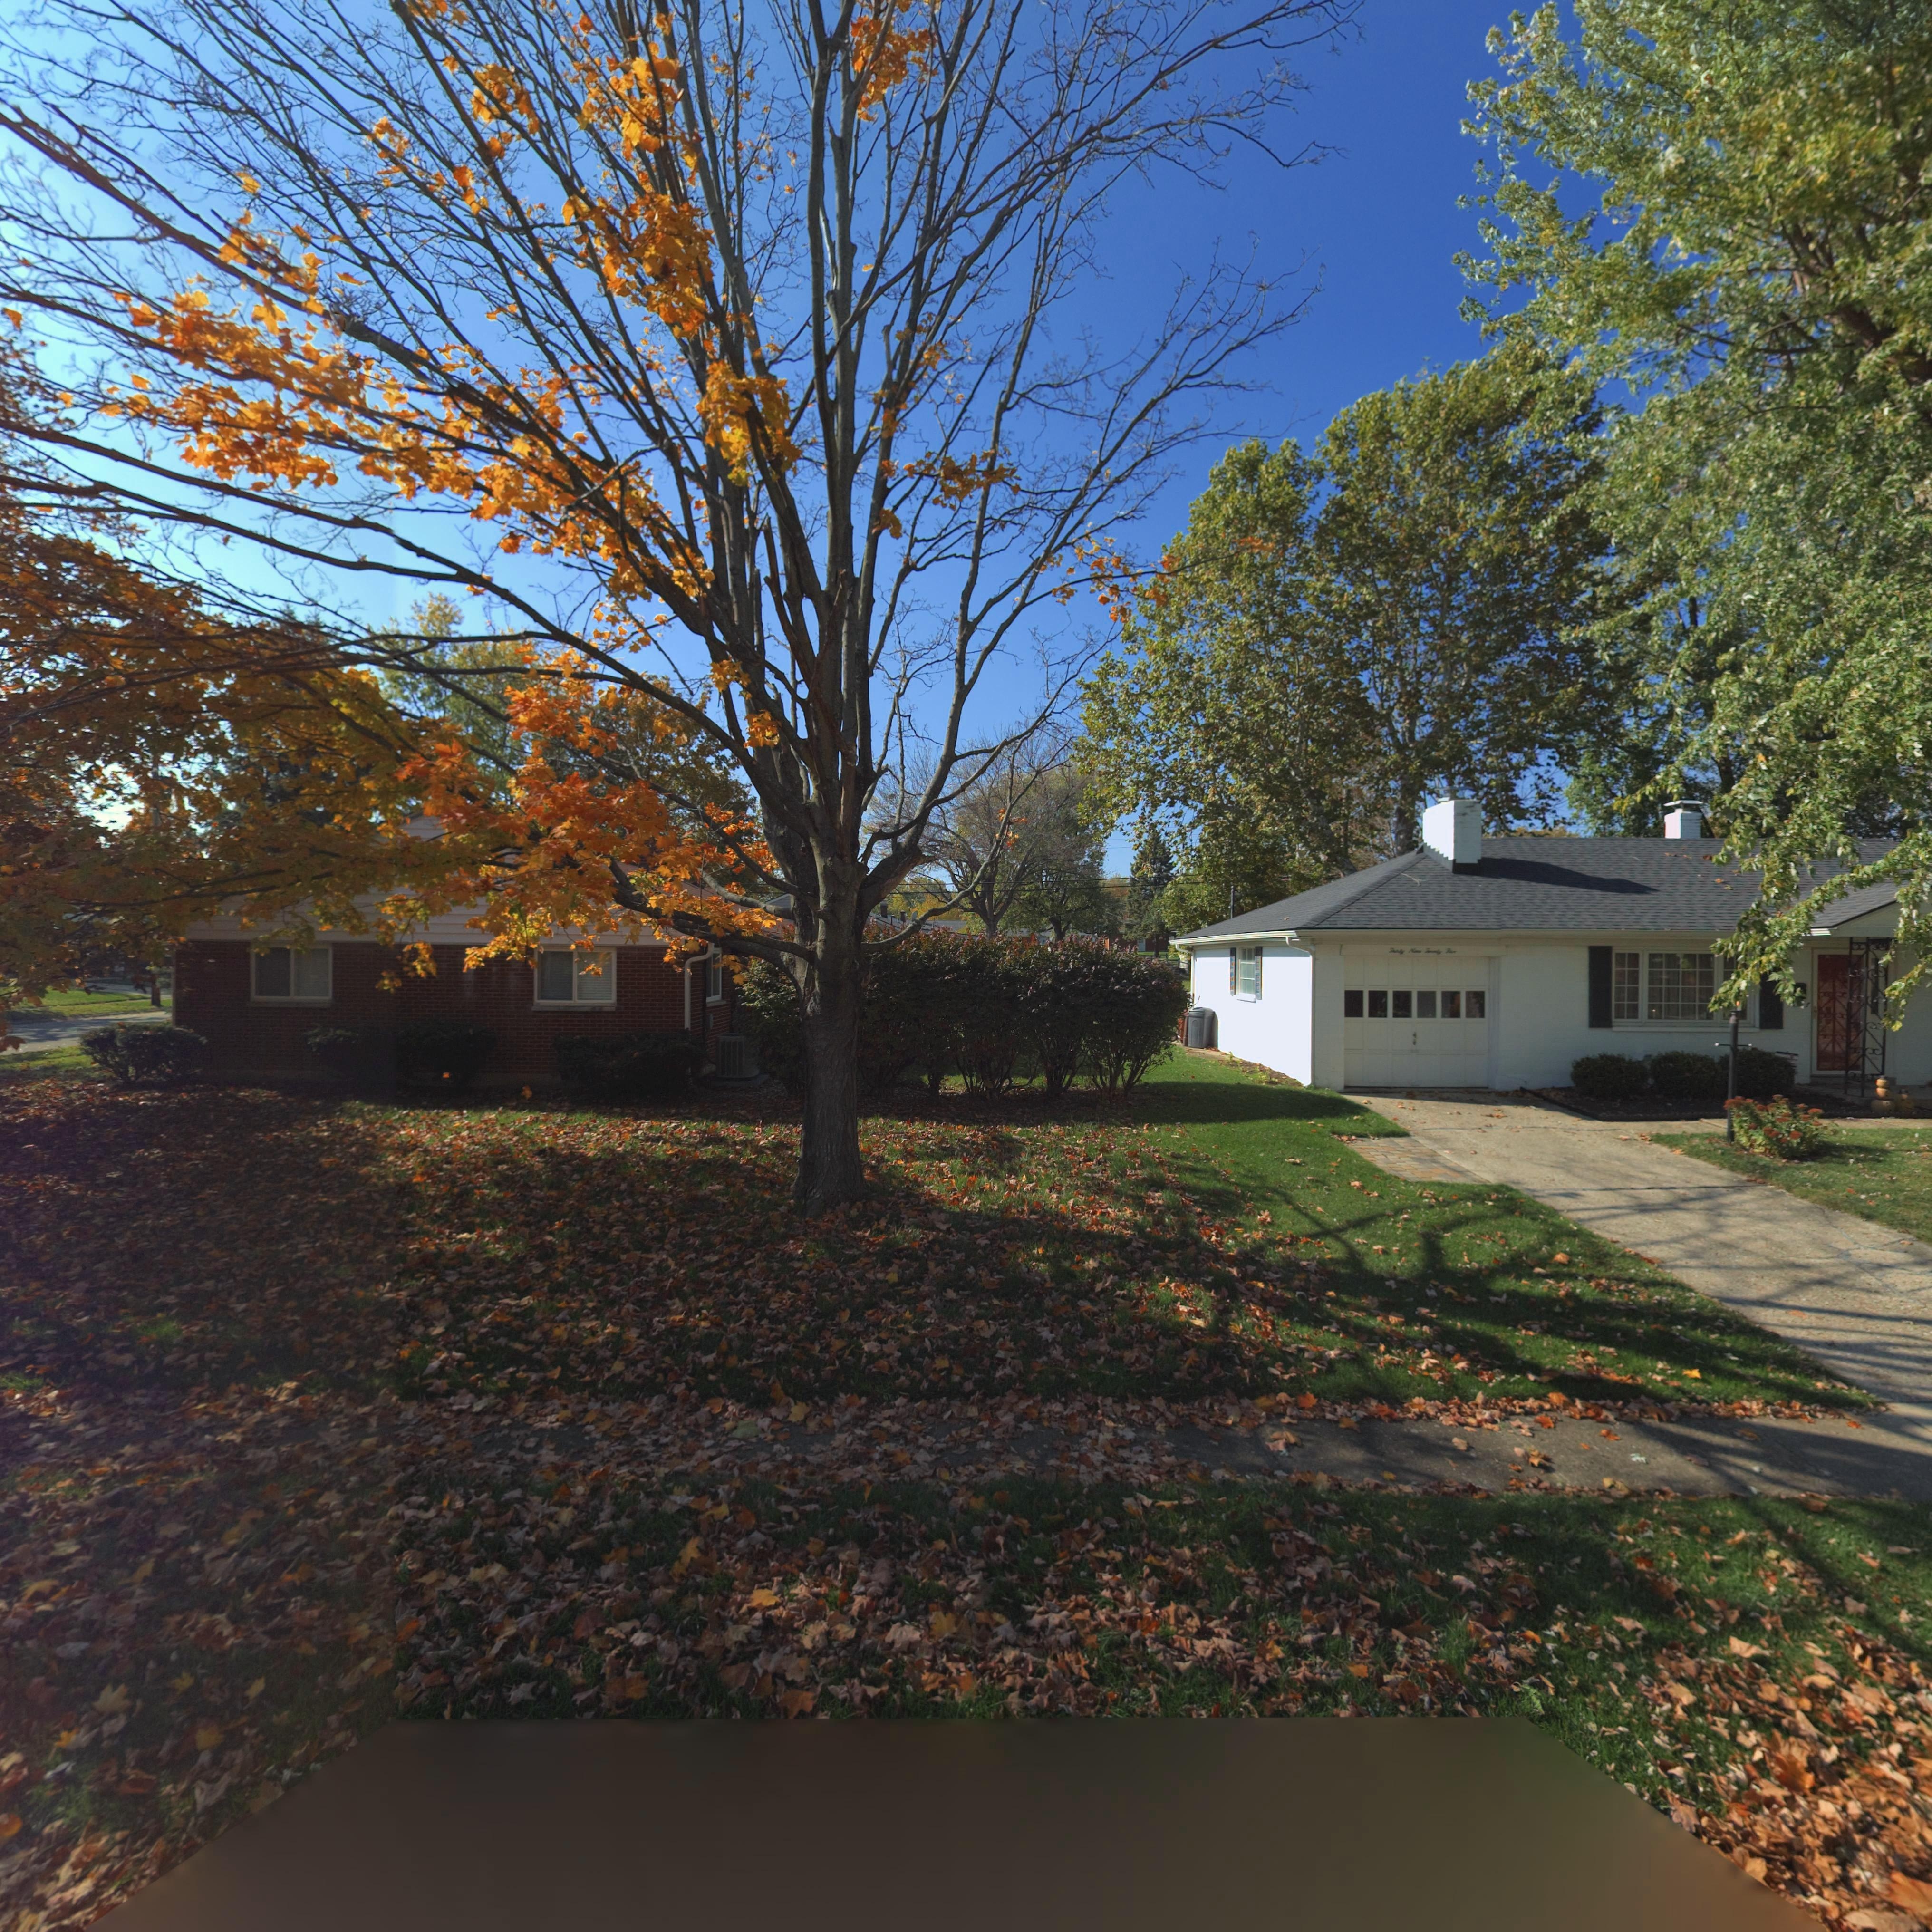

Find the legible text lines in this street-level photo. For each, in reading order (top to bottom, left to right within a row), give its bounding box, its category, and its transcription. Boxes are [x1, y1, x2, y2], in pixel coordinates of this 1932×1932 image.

[1408, 947, 1421, 954] None: Nine
[1423, 947, 1442, 954] None: Twenty
[1444, 947, 1457, 954] None: Five